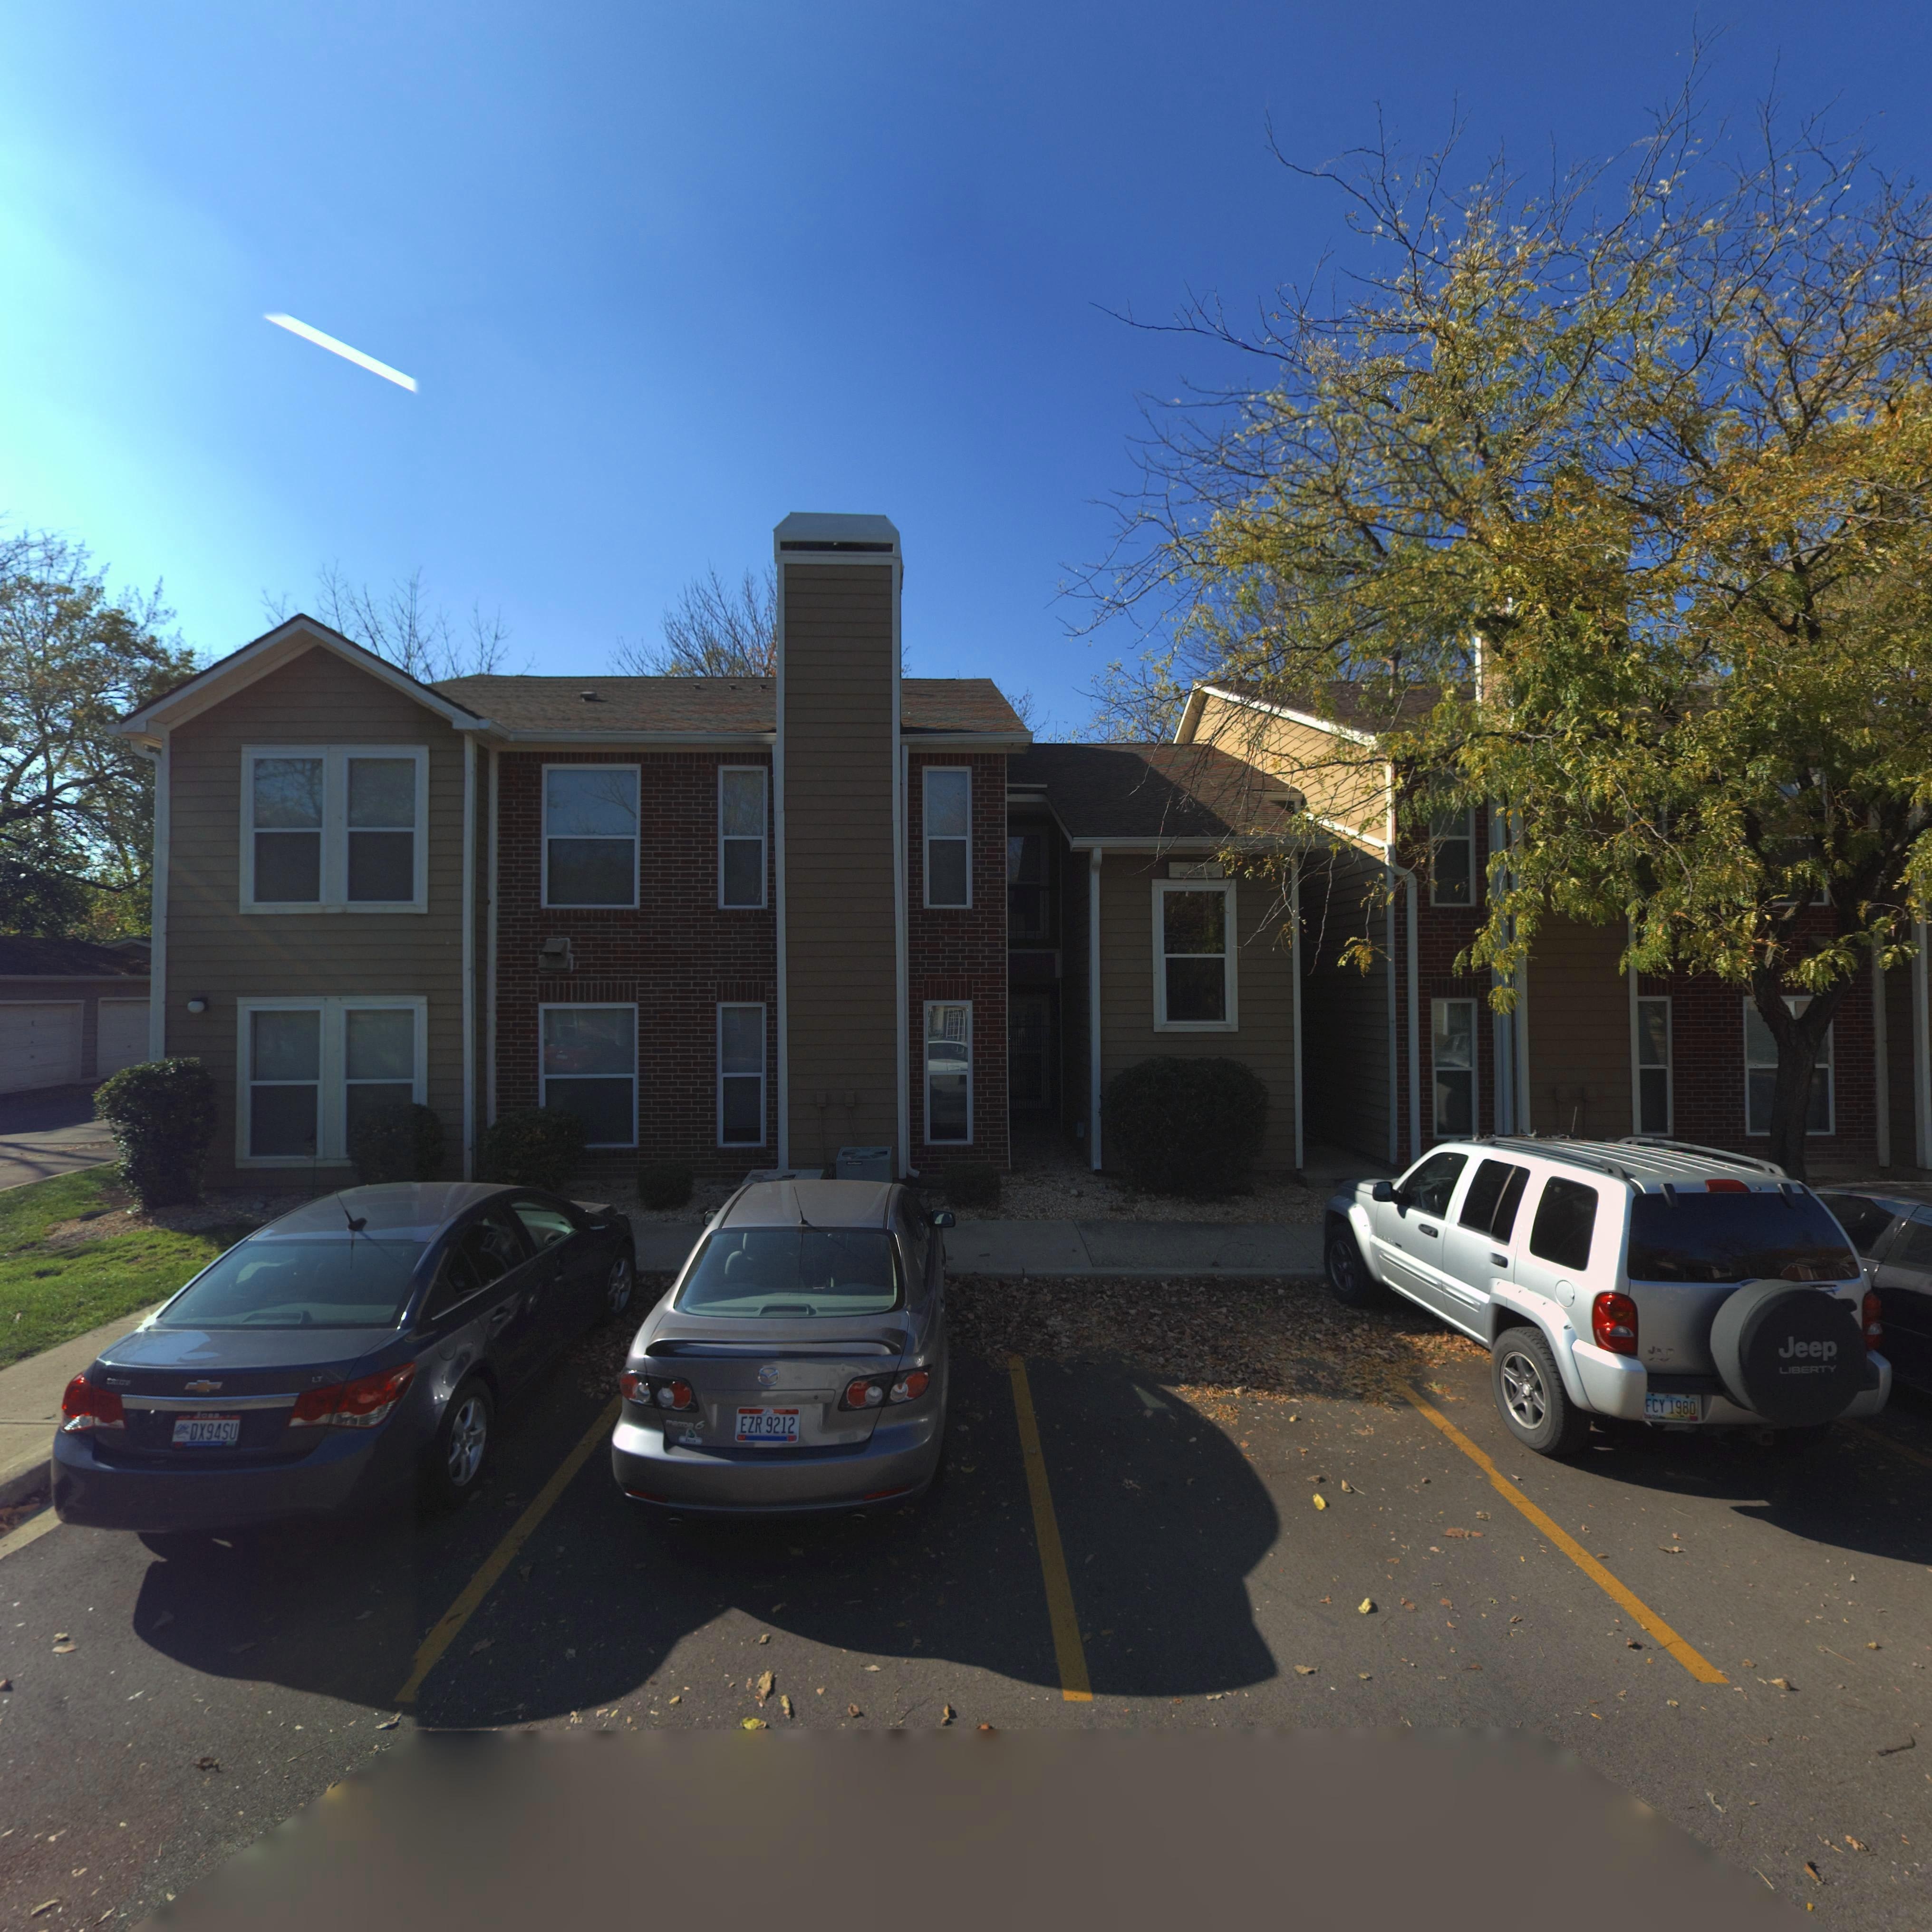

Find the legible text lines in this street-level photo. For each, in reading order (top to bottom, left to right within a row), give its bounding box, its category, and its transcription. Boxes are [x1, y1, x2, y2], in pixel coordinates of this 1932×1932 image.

[1187, 863, 1206, 871] StreetNumber: 7**
[1179, 871, 1214, 877] StreetName: TR*ASU*Y *R
[1646, 1345, 1676, 1357] None: J***
[1777, 1335, 1838, 1362] None: Jeep
[1778, 1364, 1837, 1375] None: LIBERTY
[311, 1375, 324, 1383] None: LT
[1644, 1398, 1697, 1416] None: FCY*1980
[192, 1411, 220, 1419] None: Joss
[665, 1420, 705, 1430] None: mazDa6
[740, 1415, 795, 1434] None: EZR*9212
[189, 1422, 239, 1440] None: DX94SU